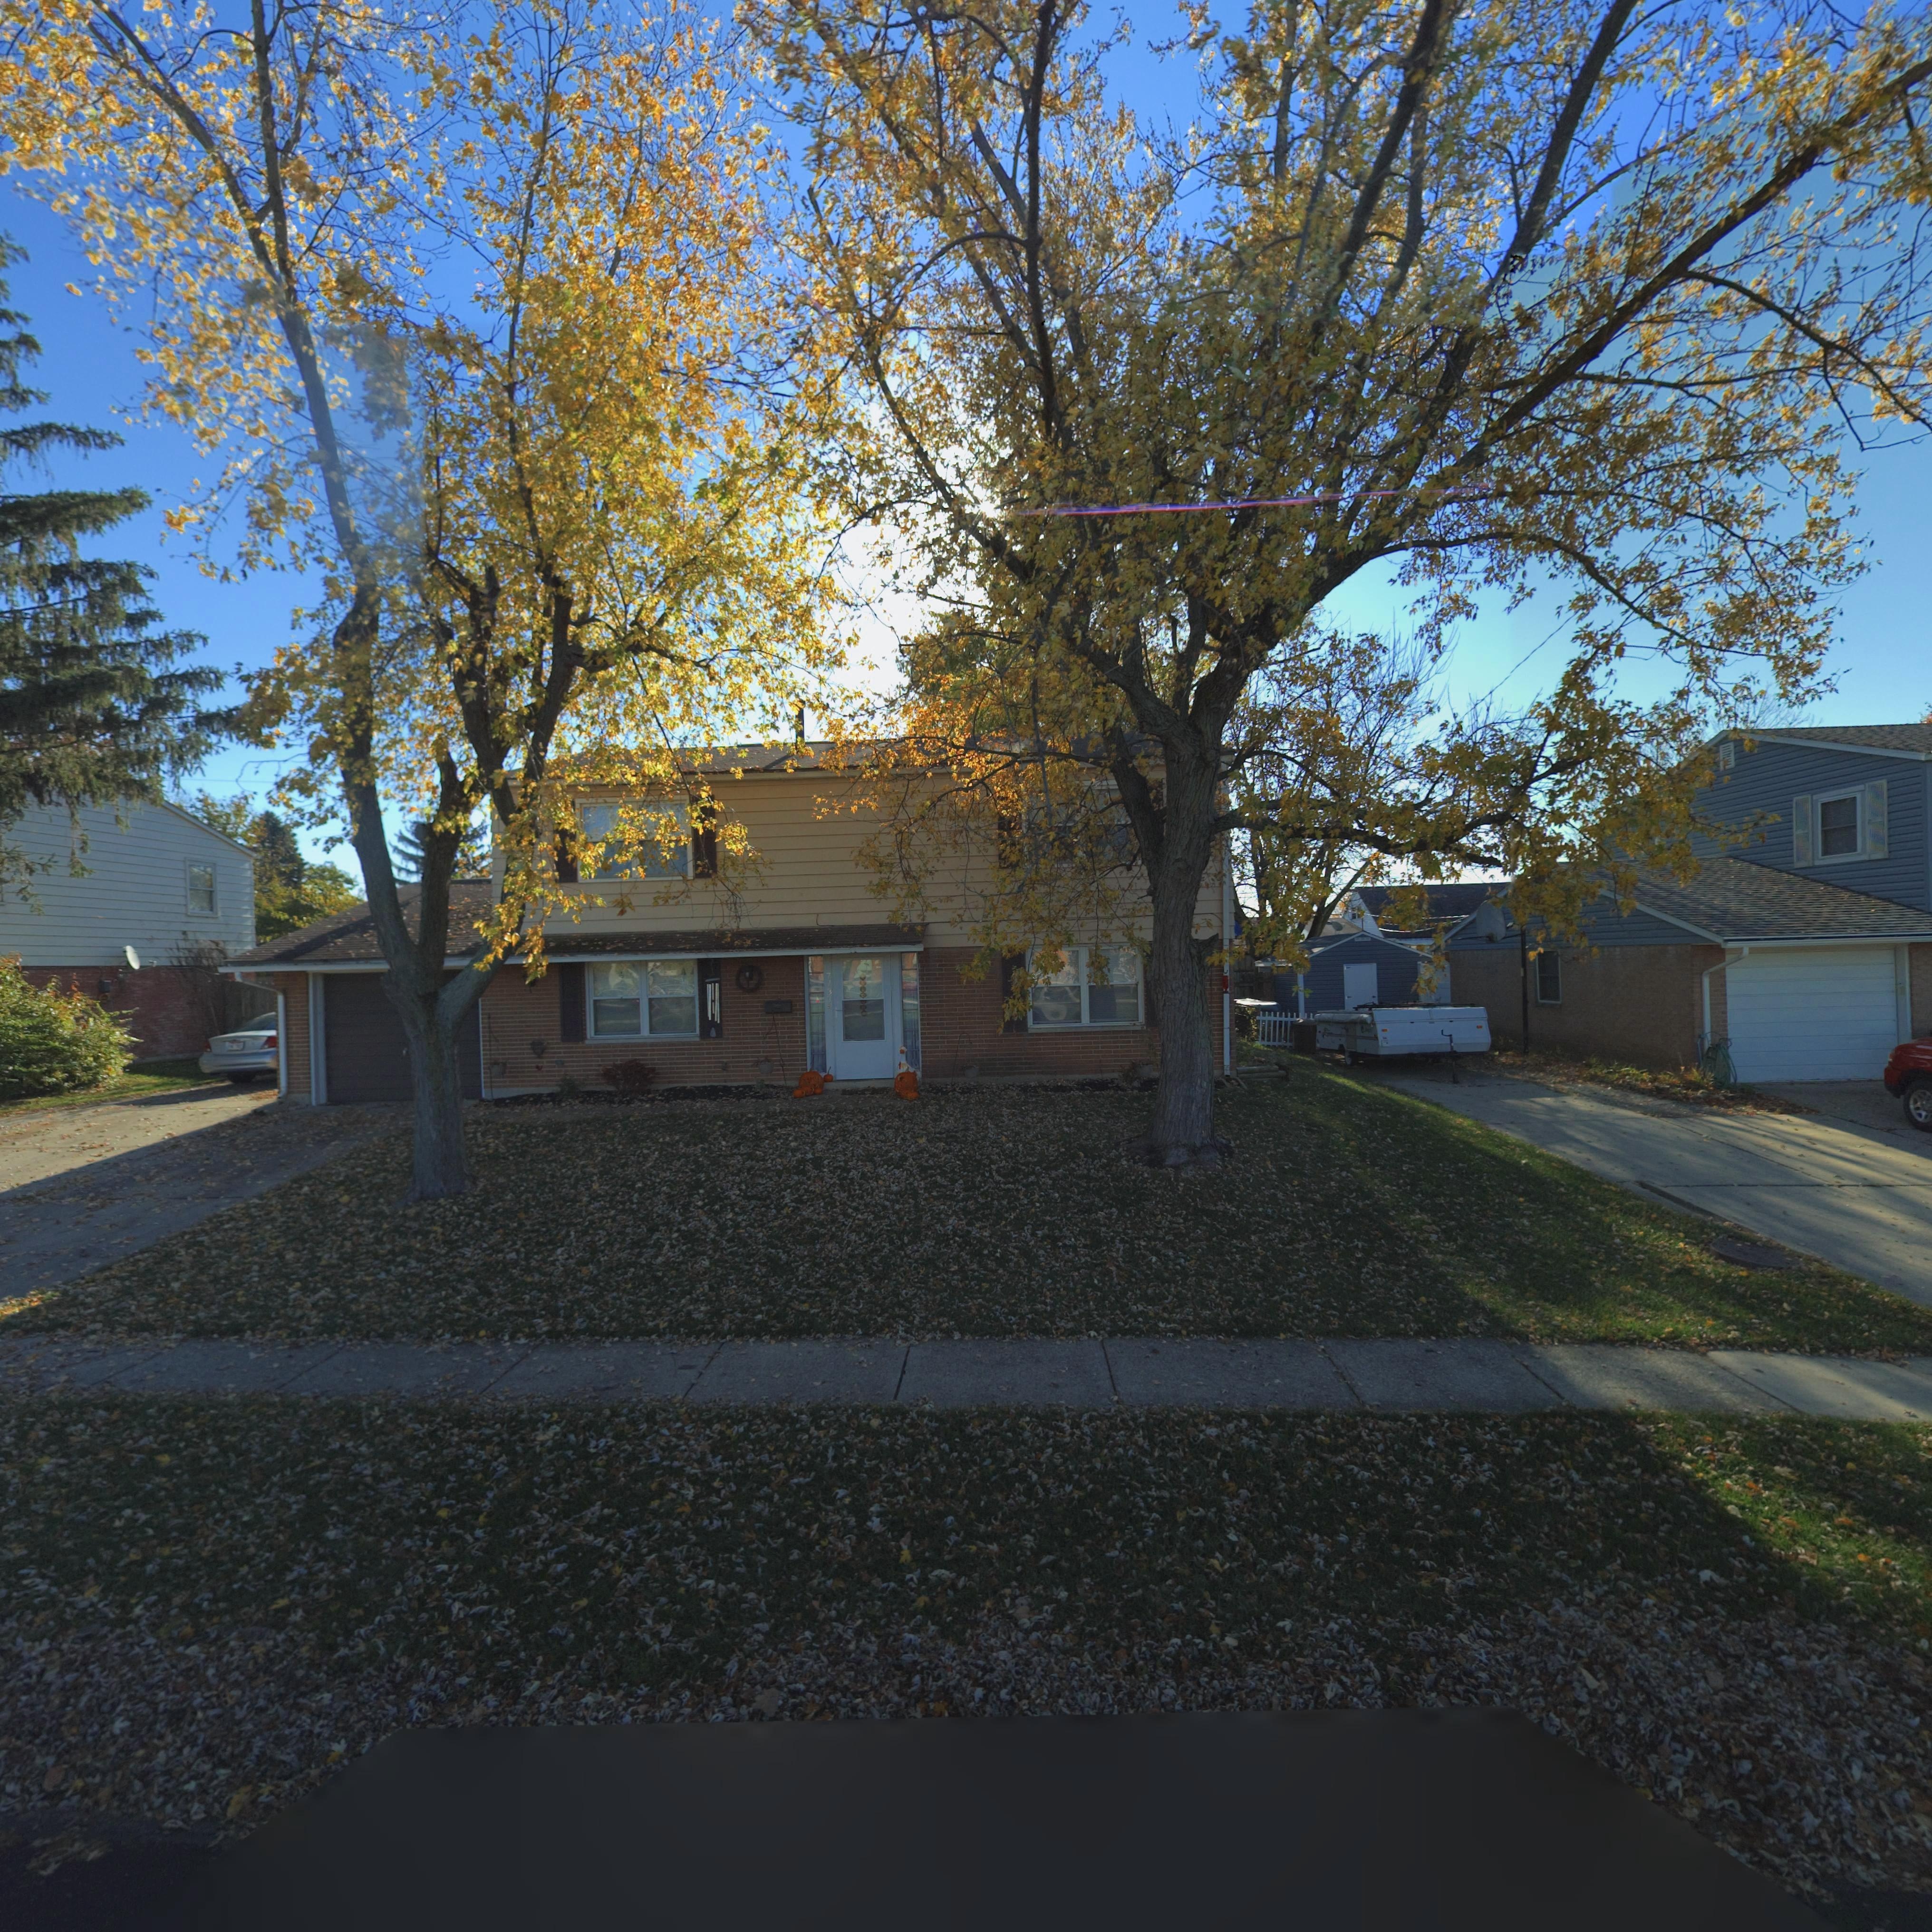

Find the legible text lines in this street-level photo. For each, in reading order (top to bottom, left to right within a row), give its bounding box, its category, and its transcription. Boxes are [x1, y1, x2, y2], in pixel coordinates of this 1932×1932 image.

[824, 971, 834, 1005] StreetNumber: 7*3*